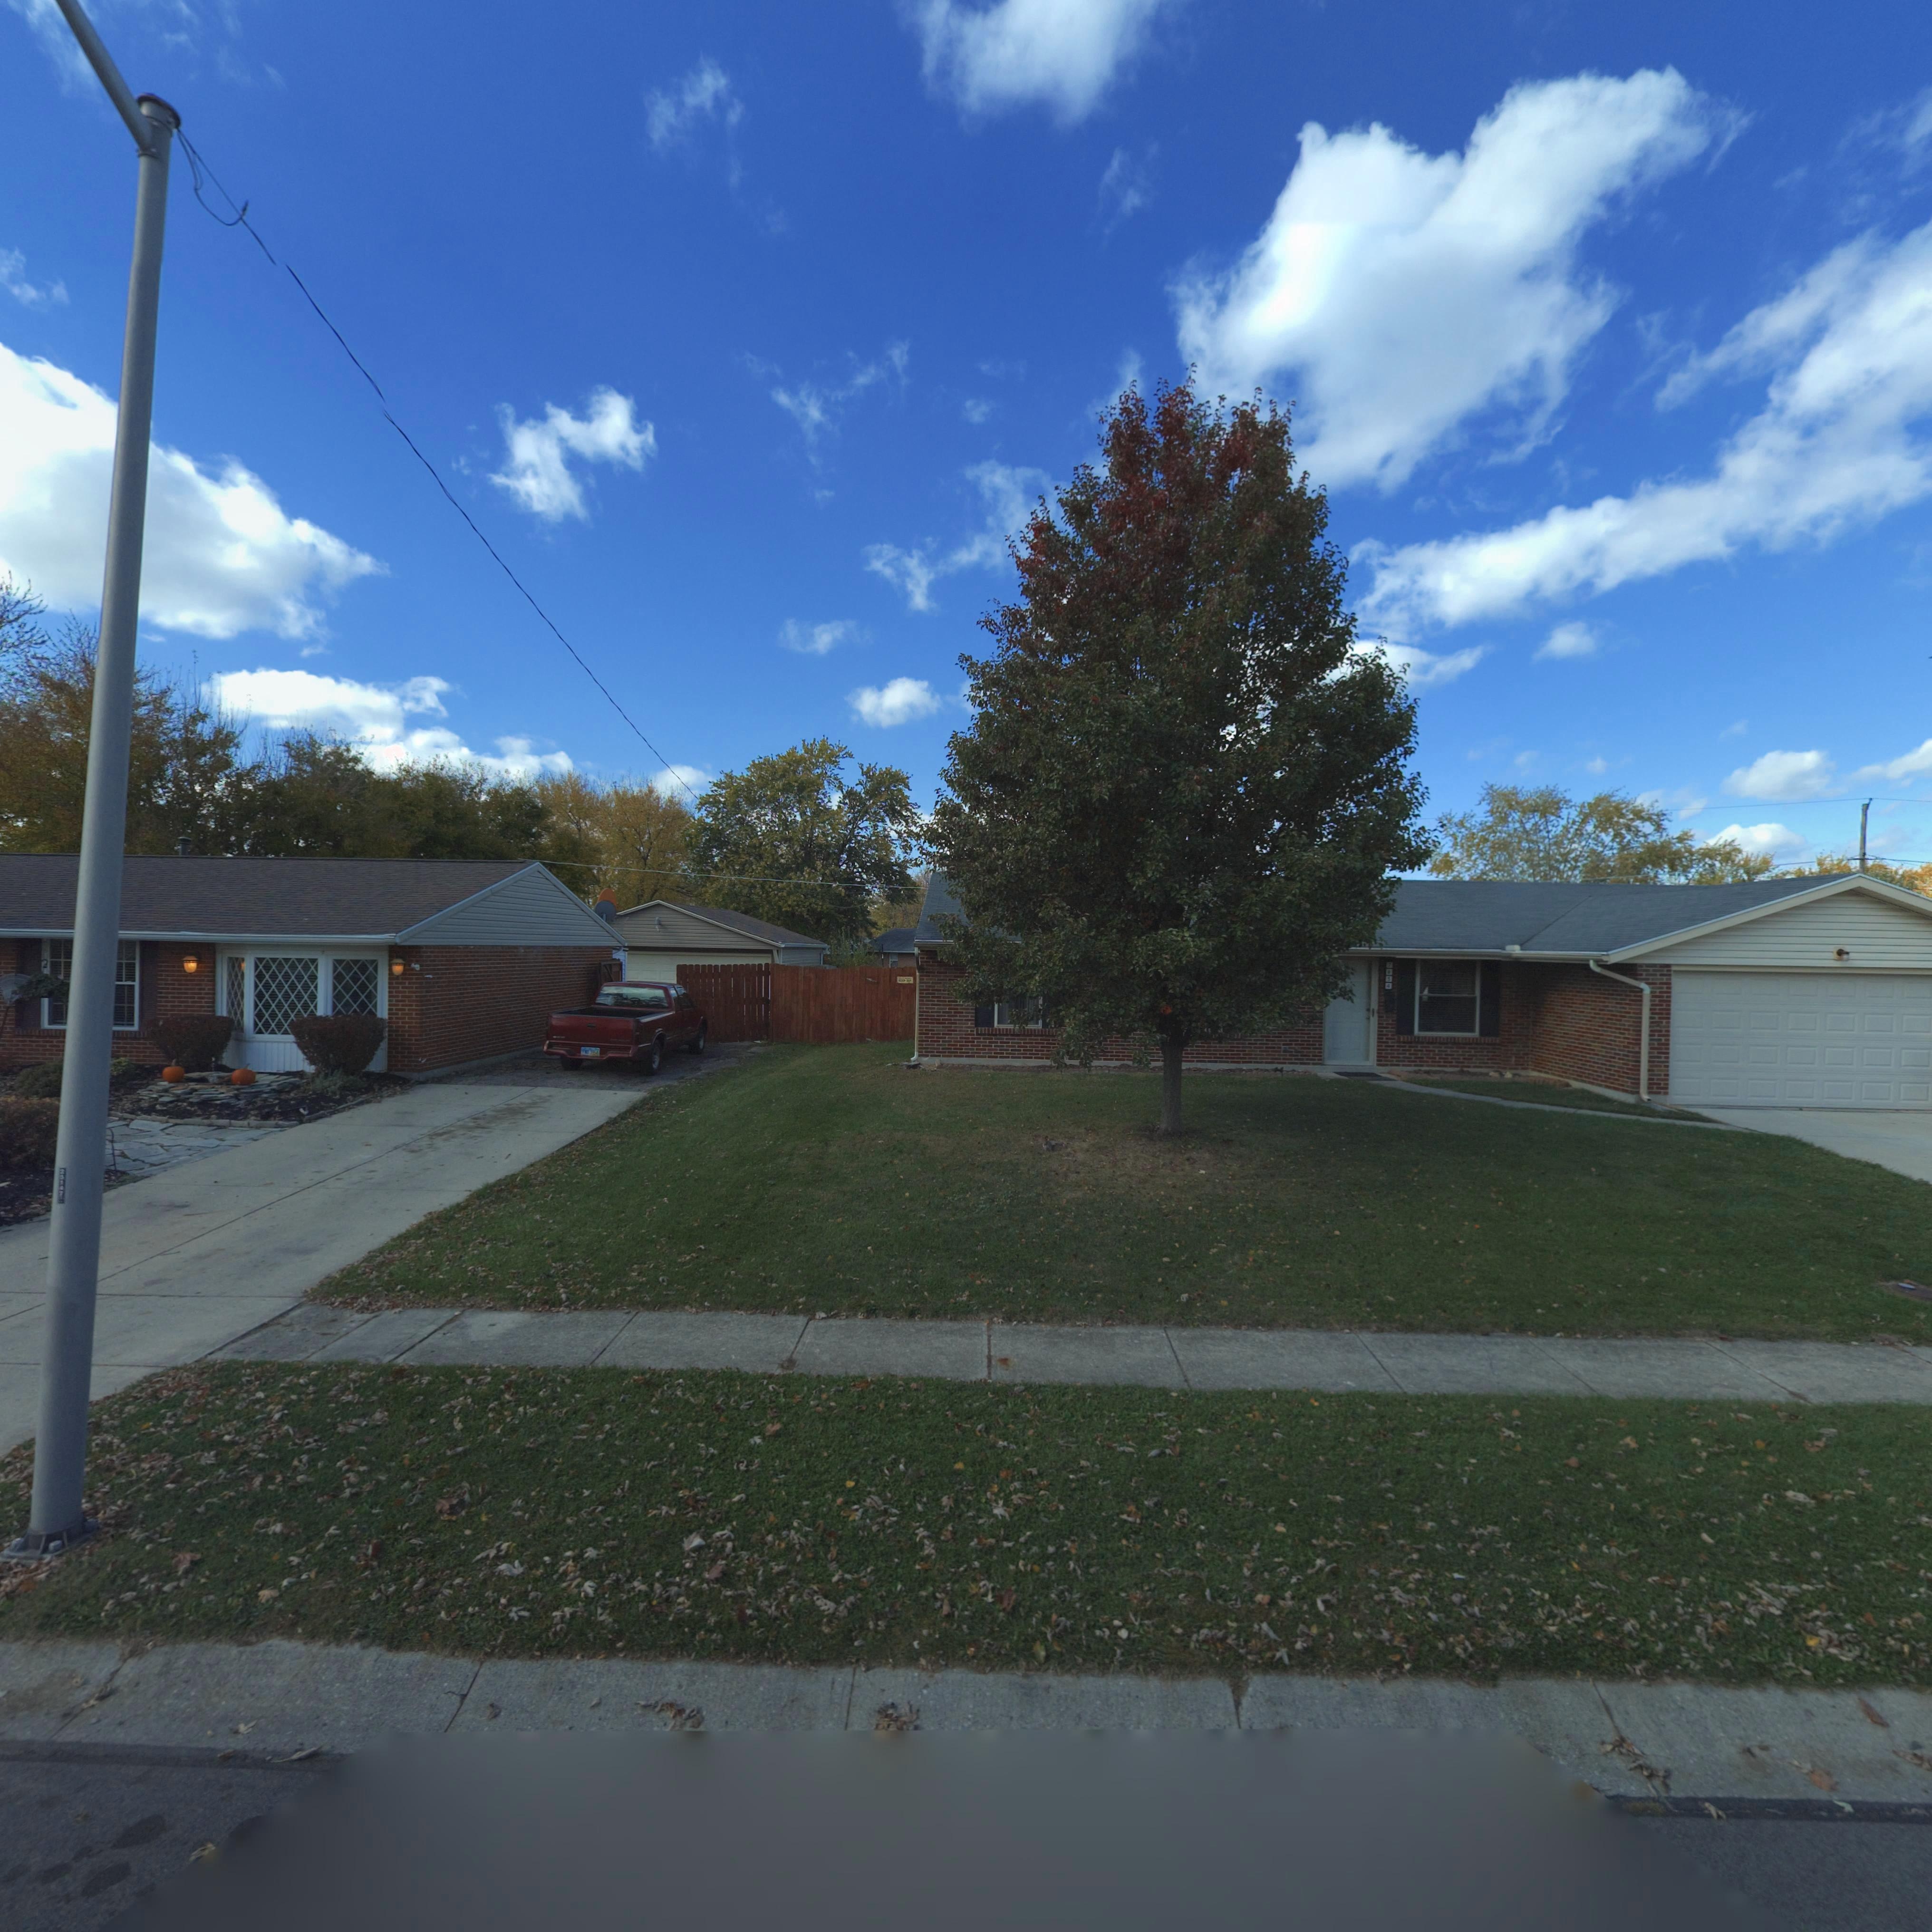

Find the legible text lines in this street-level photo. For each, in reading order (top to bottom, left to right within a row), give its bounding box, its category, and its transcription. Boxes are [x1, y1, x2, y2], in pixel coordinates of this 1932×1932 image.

[1385, 961, 1392, 989] StreetNumber: 7654